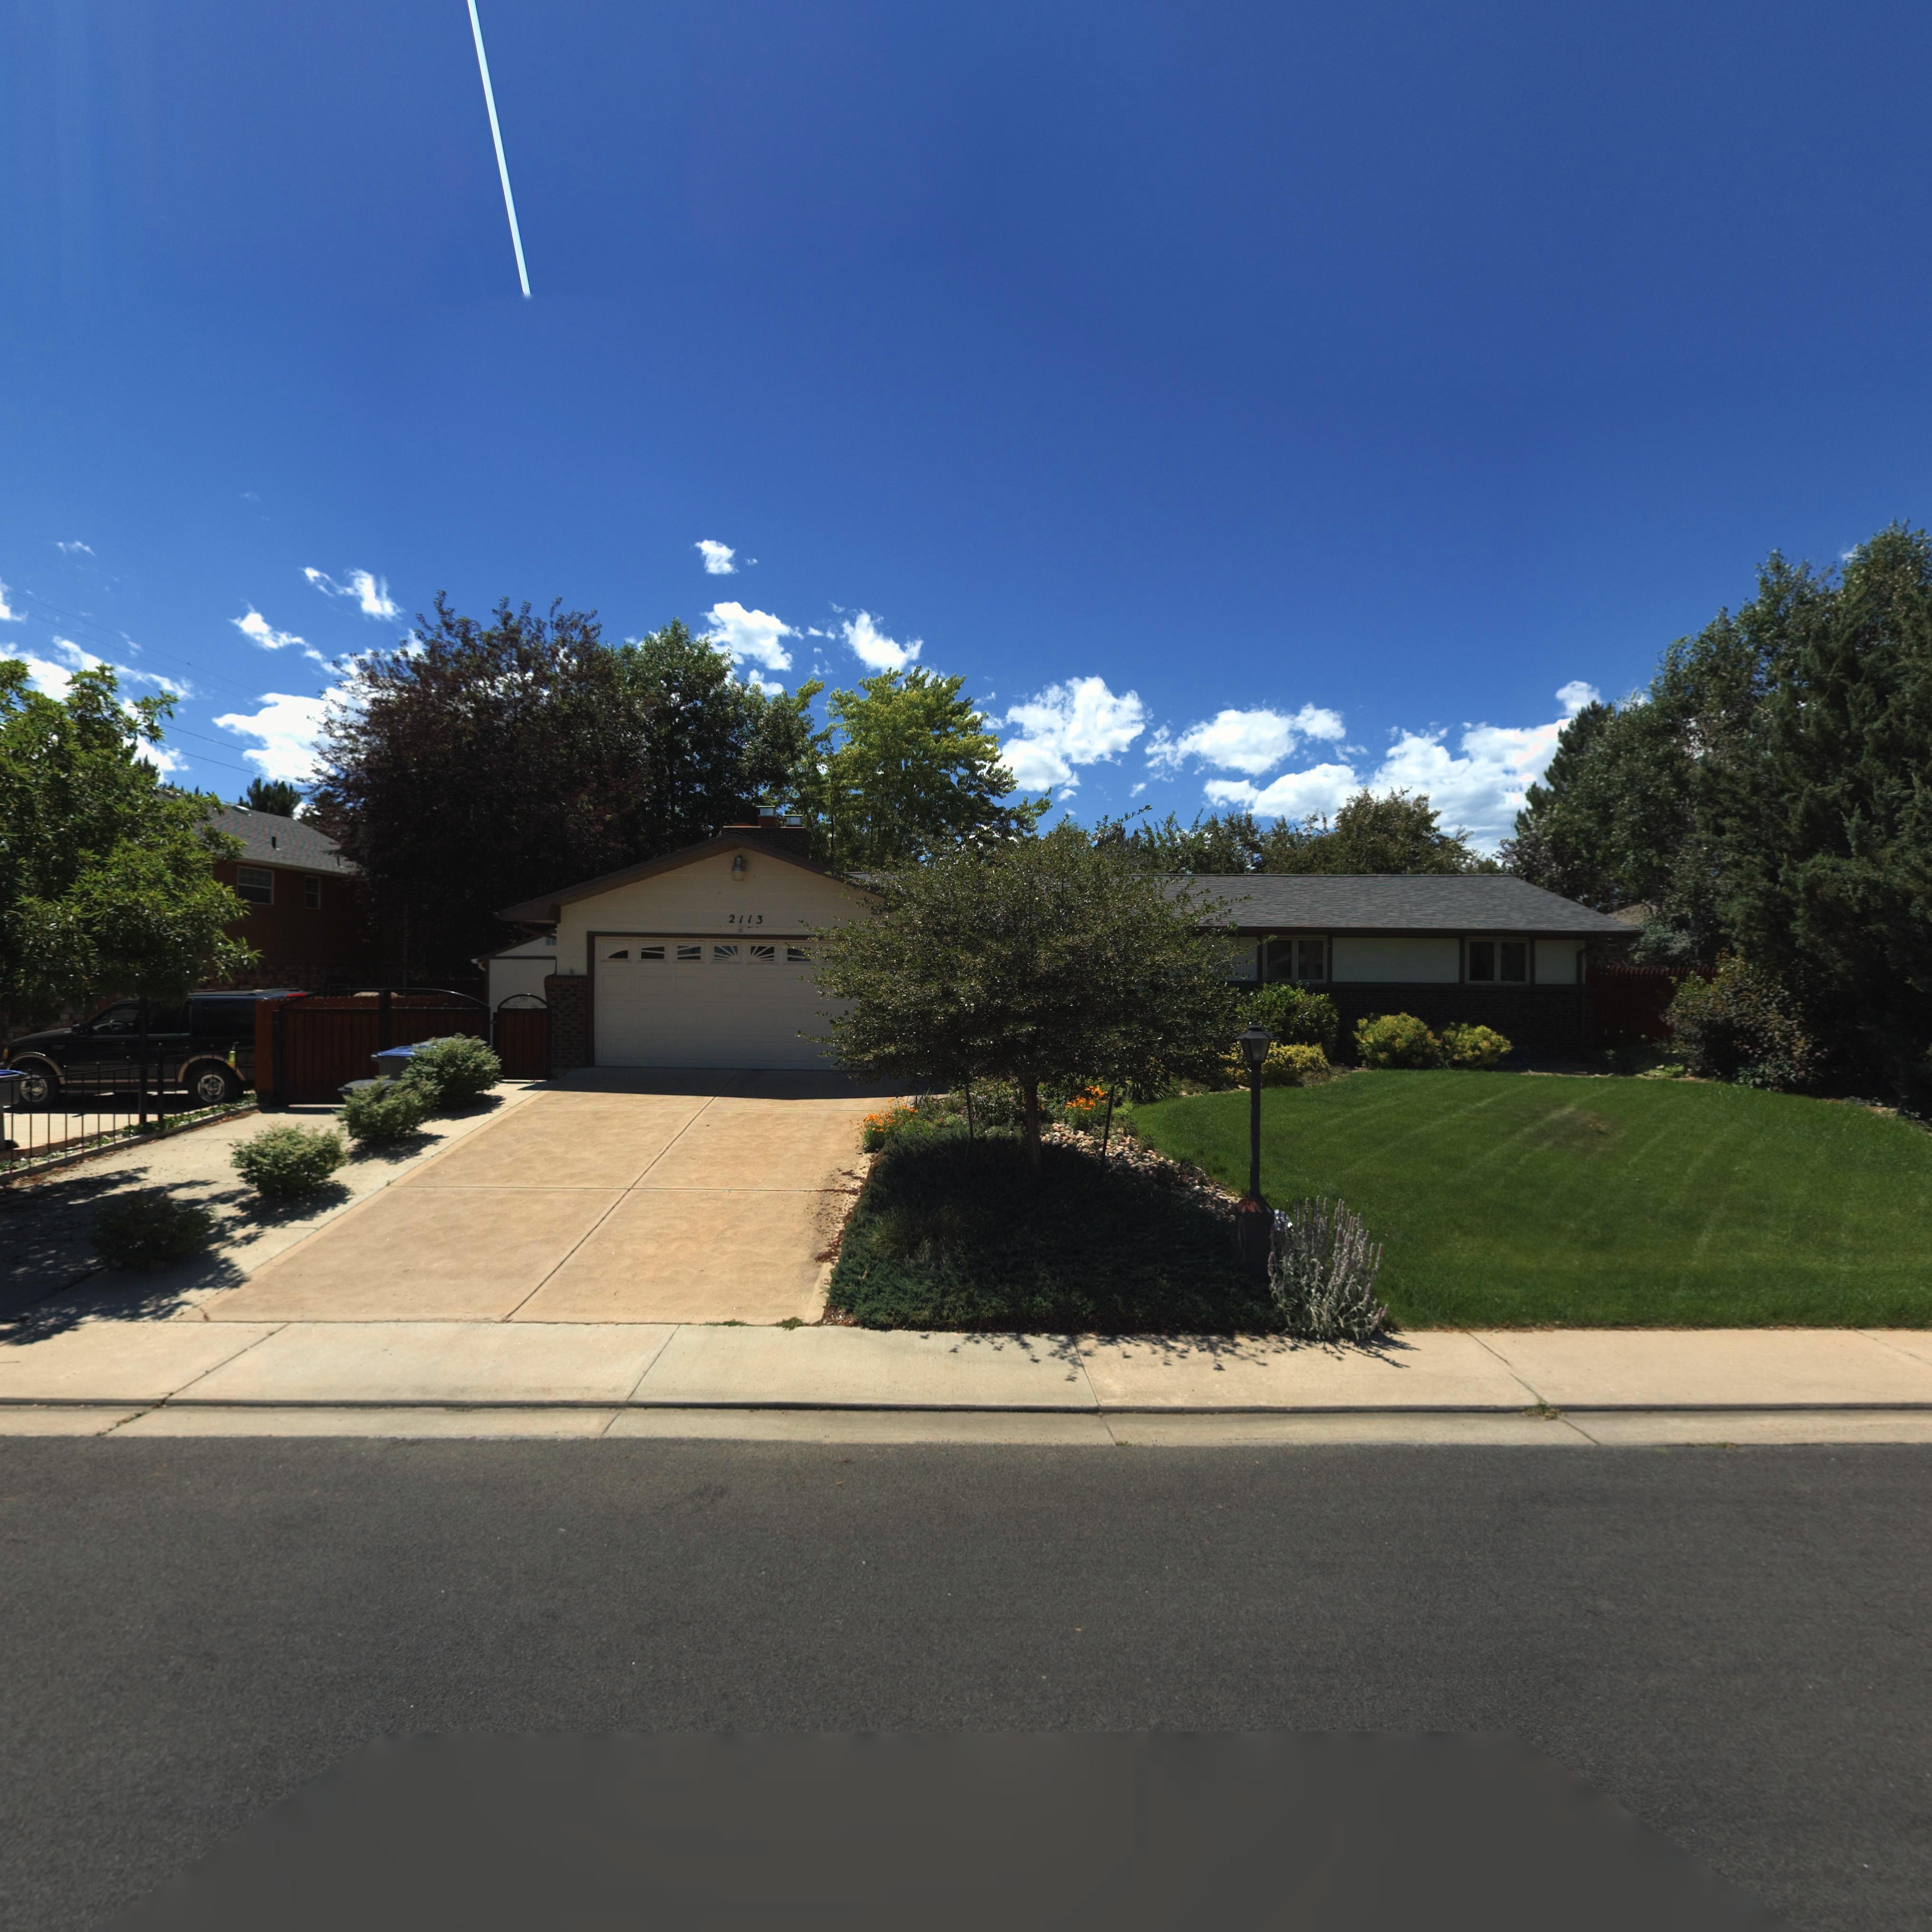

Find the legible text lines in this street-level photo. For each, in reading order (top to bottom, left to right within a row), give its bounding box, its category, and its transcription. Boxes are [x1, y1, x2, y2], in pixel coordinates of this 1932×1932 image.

[728, 914, 763, 924] StreetNumber: 2113